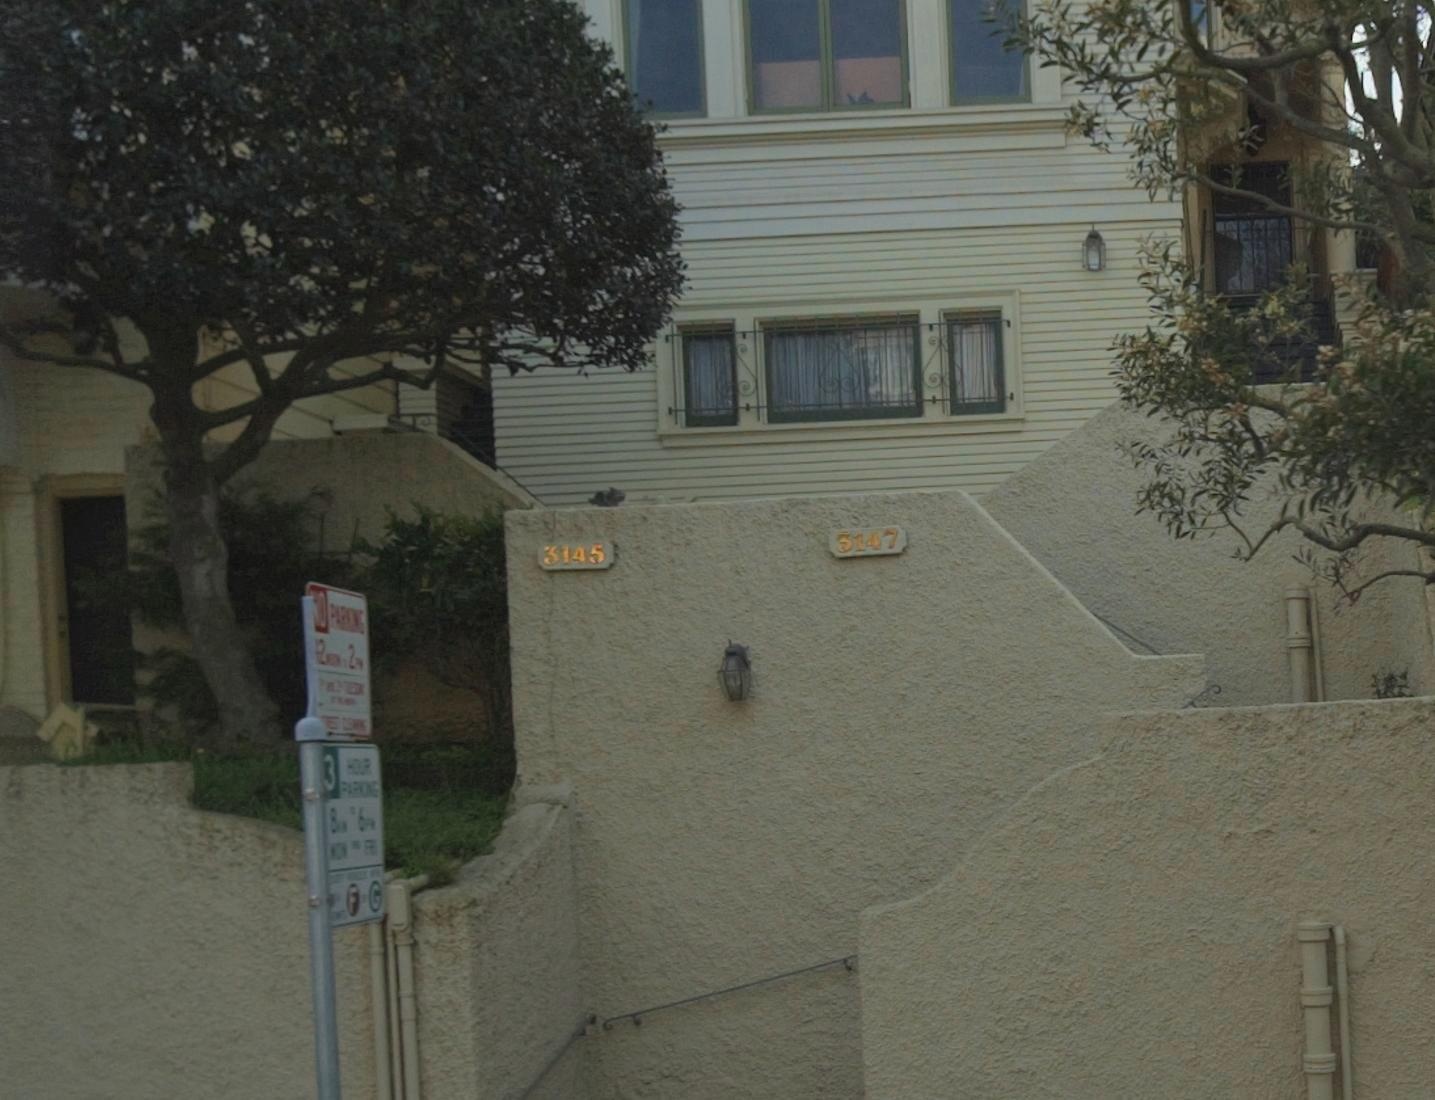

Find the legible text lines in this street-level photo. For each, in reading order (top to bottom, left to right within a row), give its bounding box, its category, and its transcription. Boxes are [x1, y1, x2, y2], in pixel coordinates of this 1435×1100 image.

[540, 541, 609, 569] StreetNumber: 3145
[833, 525, 901, 555] StreetNumber: 3147
[307, 584, 367, 637] None: NO PARKING
[312, 634, 330, 668] None: 12
[345, 639, 358, 673] None: 2
[320, 750, 339, 797] None: 3
[343, 755, 375, 778] None: HOUR
[339, 778, 381, 801] None: PARKING
[326, 804, 341, 837] None: 8
[355, 804, 367, 834] None: 6
[345, 884, 361, 917] None: F
[369, 881, 383, 912] None: G